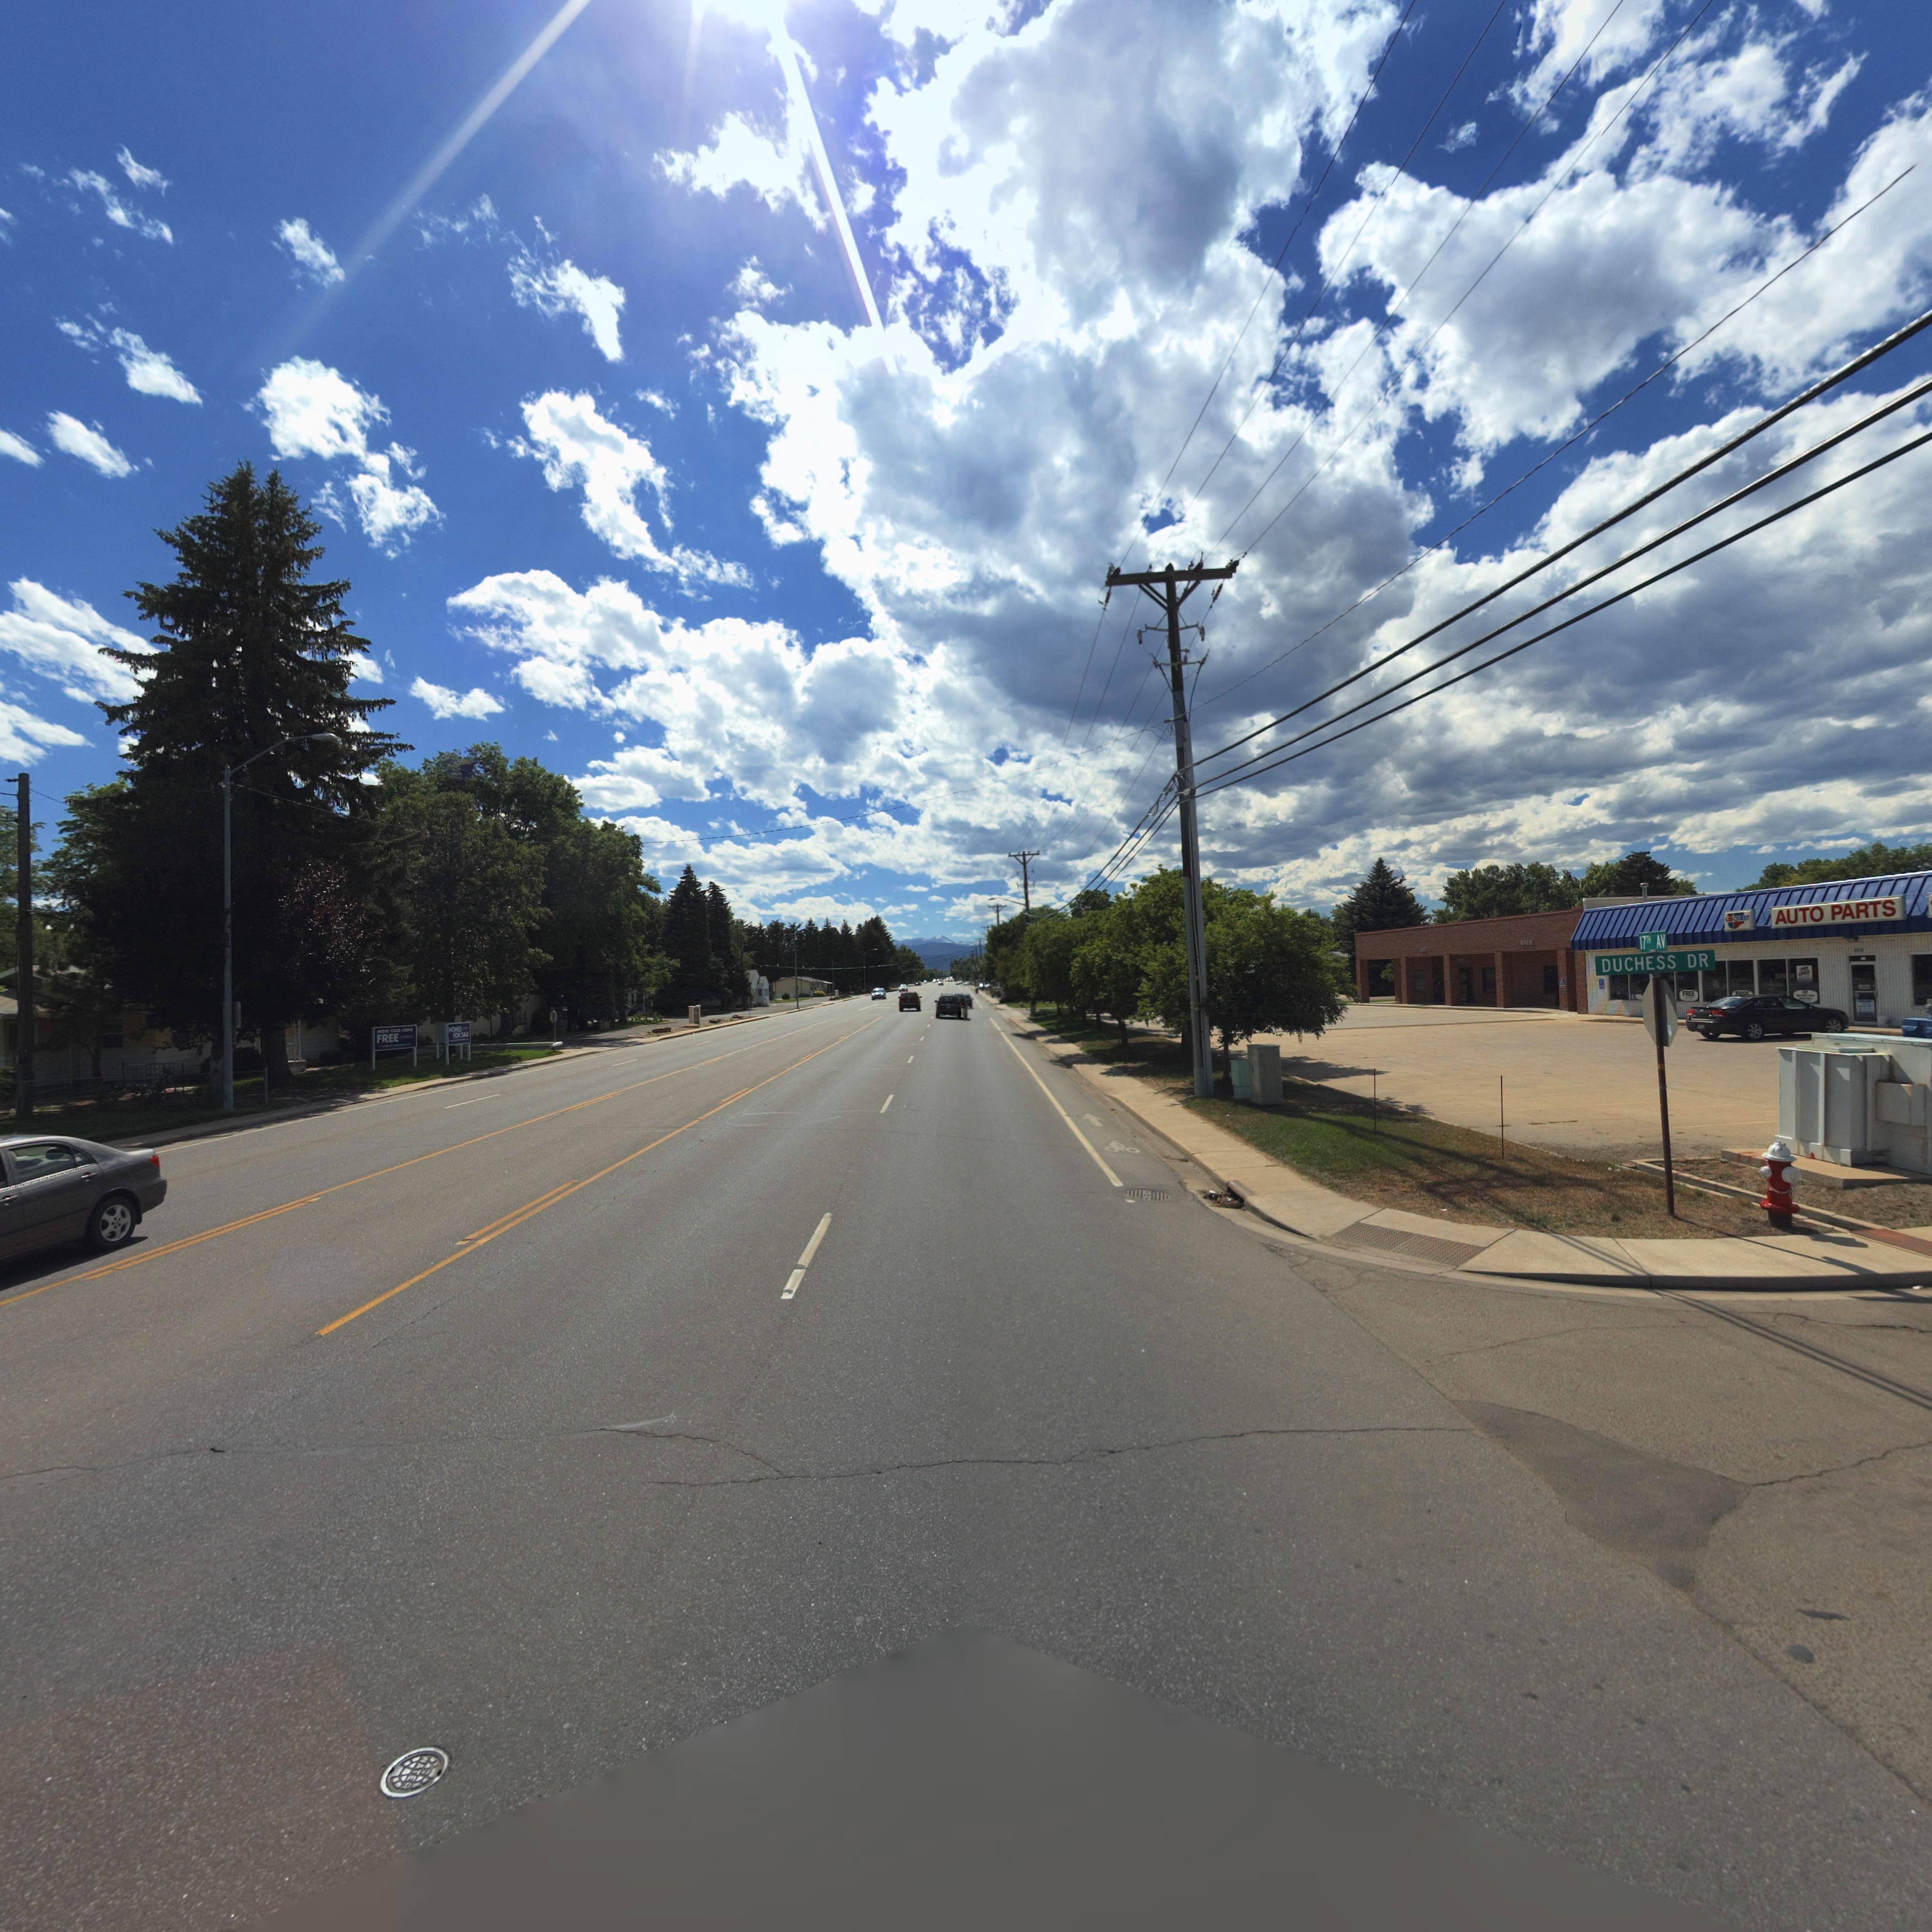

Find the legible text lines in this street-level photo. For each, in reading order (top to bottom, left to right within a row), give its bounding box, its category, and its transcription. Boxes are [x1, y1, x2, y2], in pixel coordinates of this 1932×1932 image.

[1775, 898, 1896, 925] BusinessName: AUTO PARTS
[1725, 915, 1749, 922] BusinessName: C** QU*ST
[1519, 939, 1533, 946] StreetNumber: 9156
[1638, 933, 1666, 950] StreetName: 17TH AV
[1420, 947, 1426, 952] StreetNumber: ***6
[1853, 947, 1864, 953] StreetNumber: ***0
[1600, 953, 1710, 973] BusinessName: DUCHESS DR